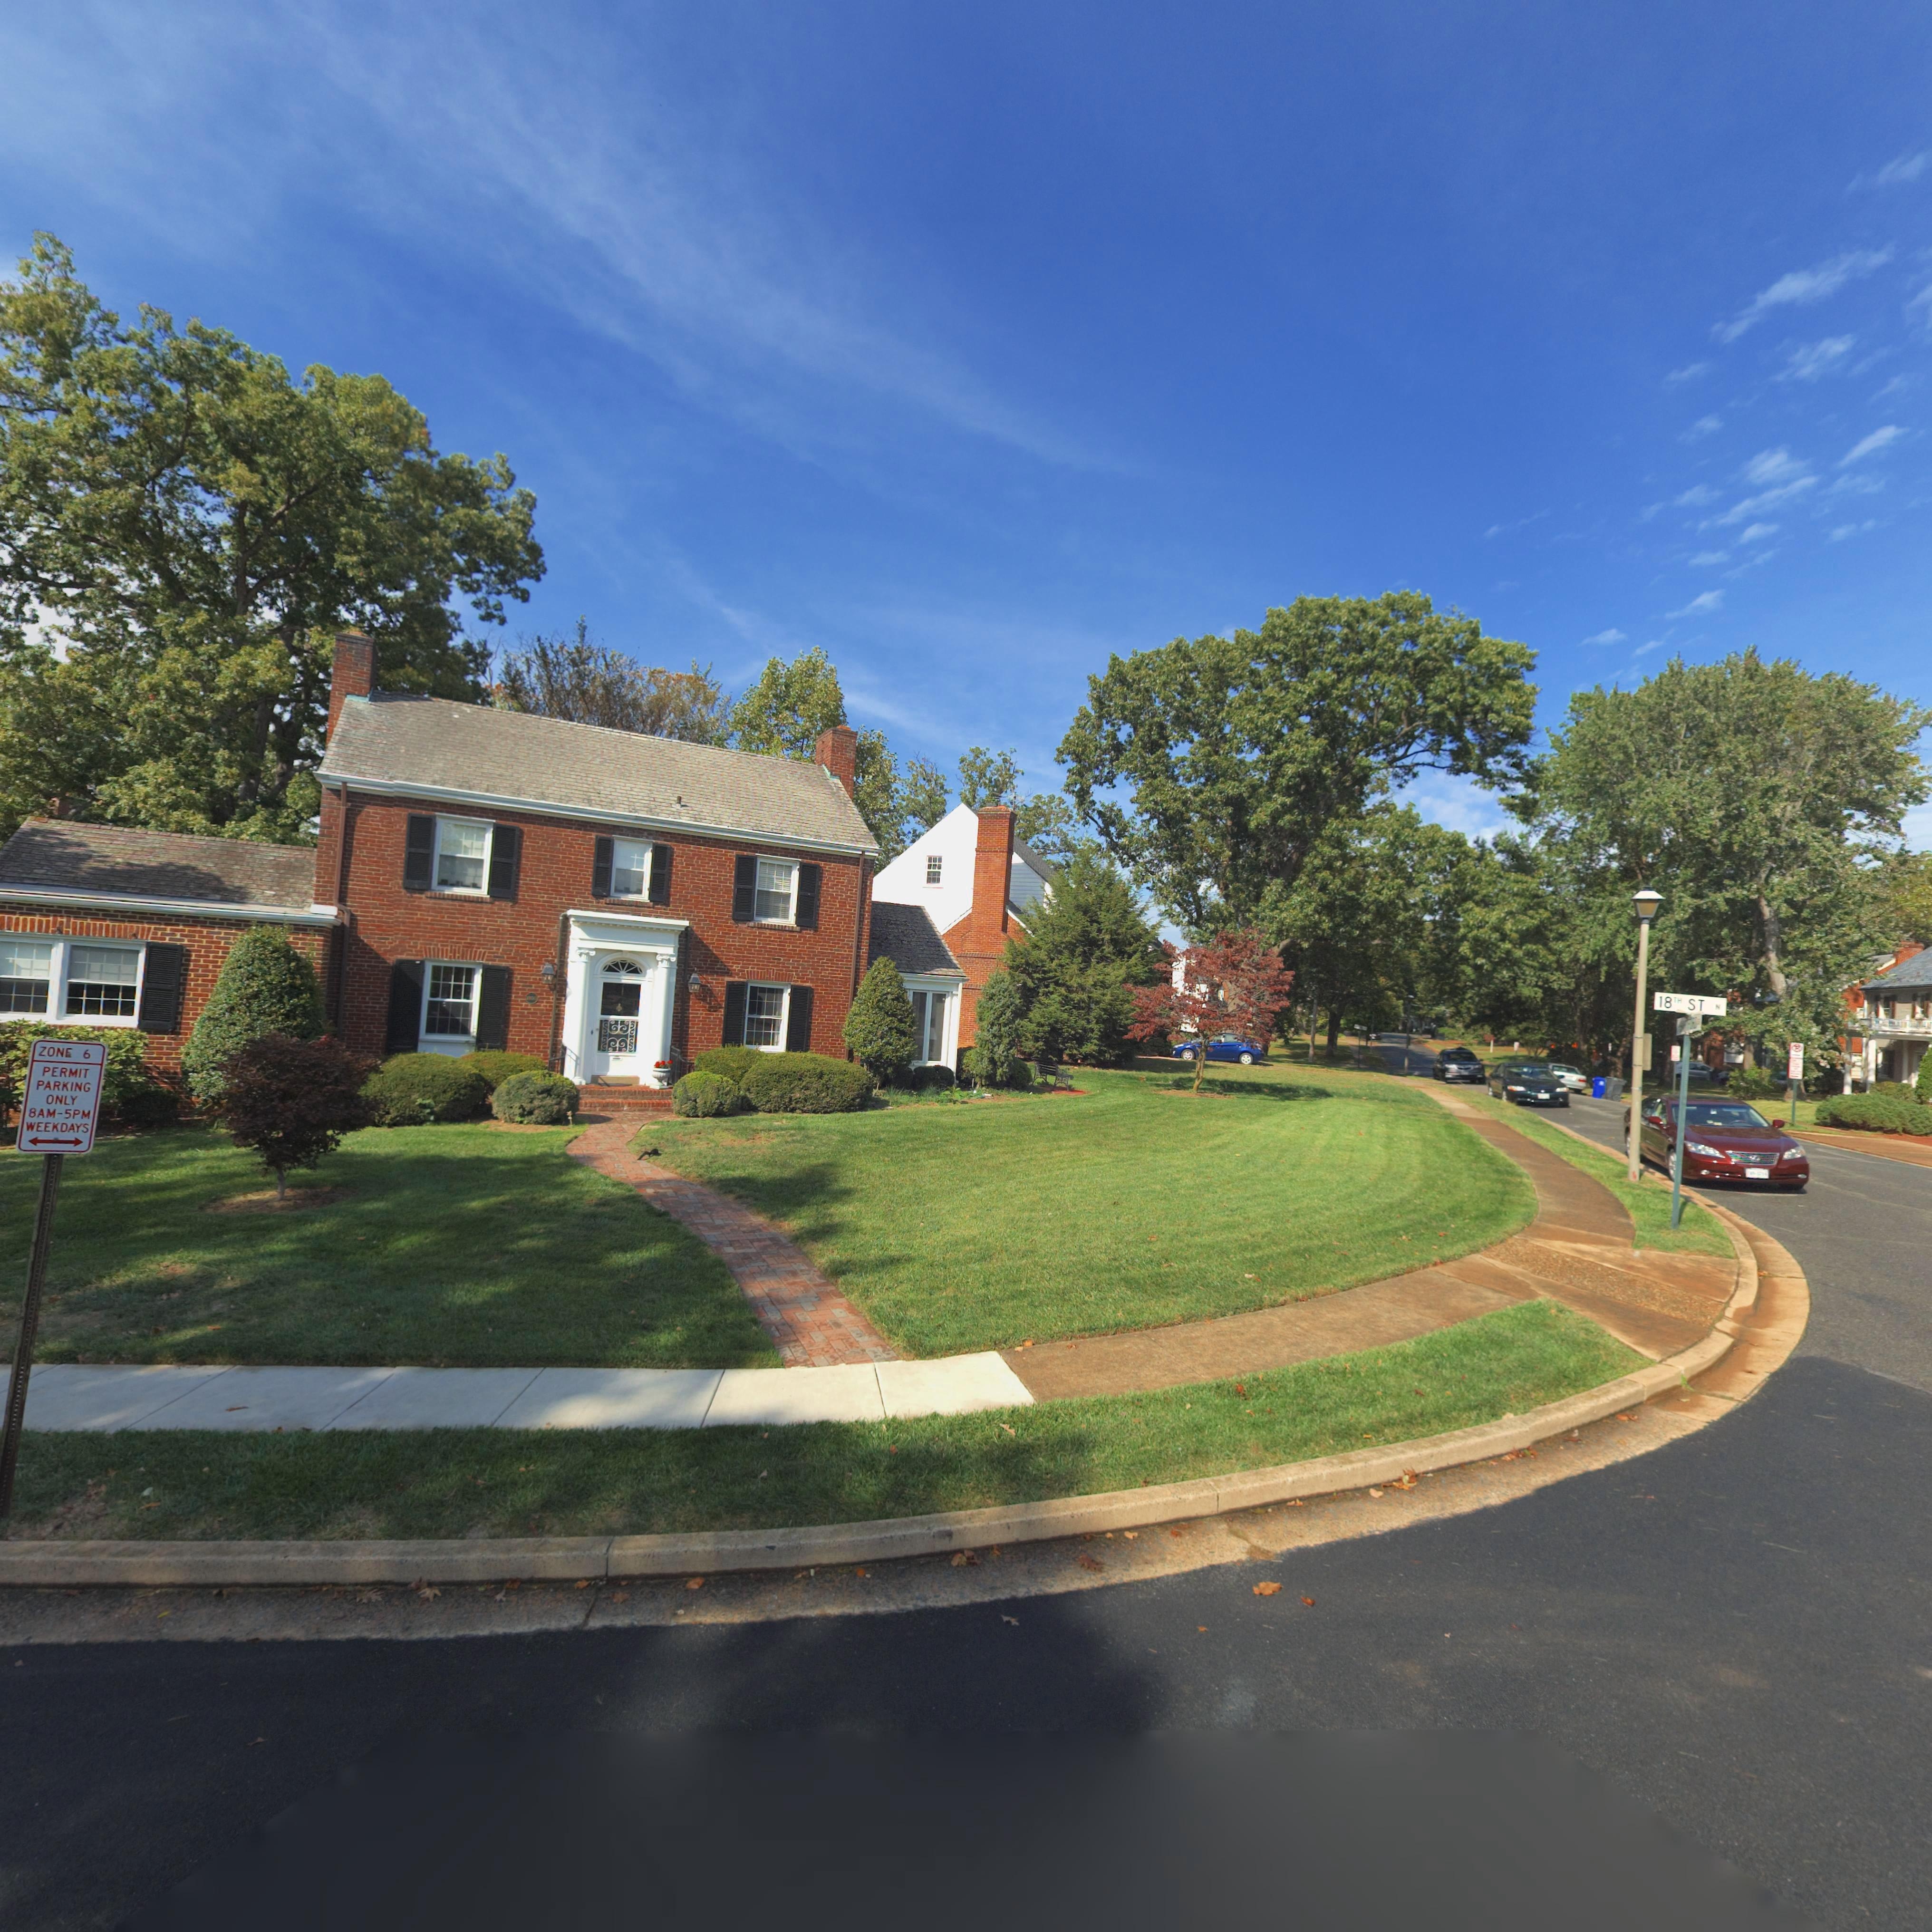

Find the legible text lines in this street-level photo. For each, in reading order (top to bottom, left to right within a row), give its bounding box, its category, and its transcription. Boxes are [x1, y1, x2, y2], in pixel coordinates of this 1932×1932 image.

[1658, 995, 1722, 1013] StreetName: 18TH ST N
[36, 1045, 93, 1061] None: ZON* 6
[40, 1064, 91, 1080] None: PERMIT
[34, 1079, 92, 1093] None: PARKING
[45, 1093, 79, 1107] None: ONLY
[26, 1106, 92, 1121] None: 8AM-5PM
[24, 1121, 90, 1134] None: WEEKDAYS